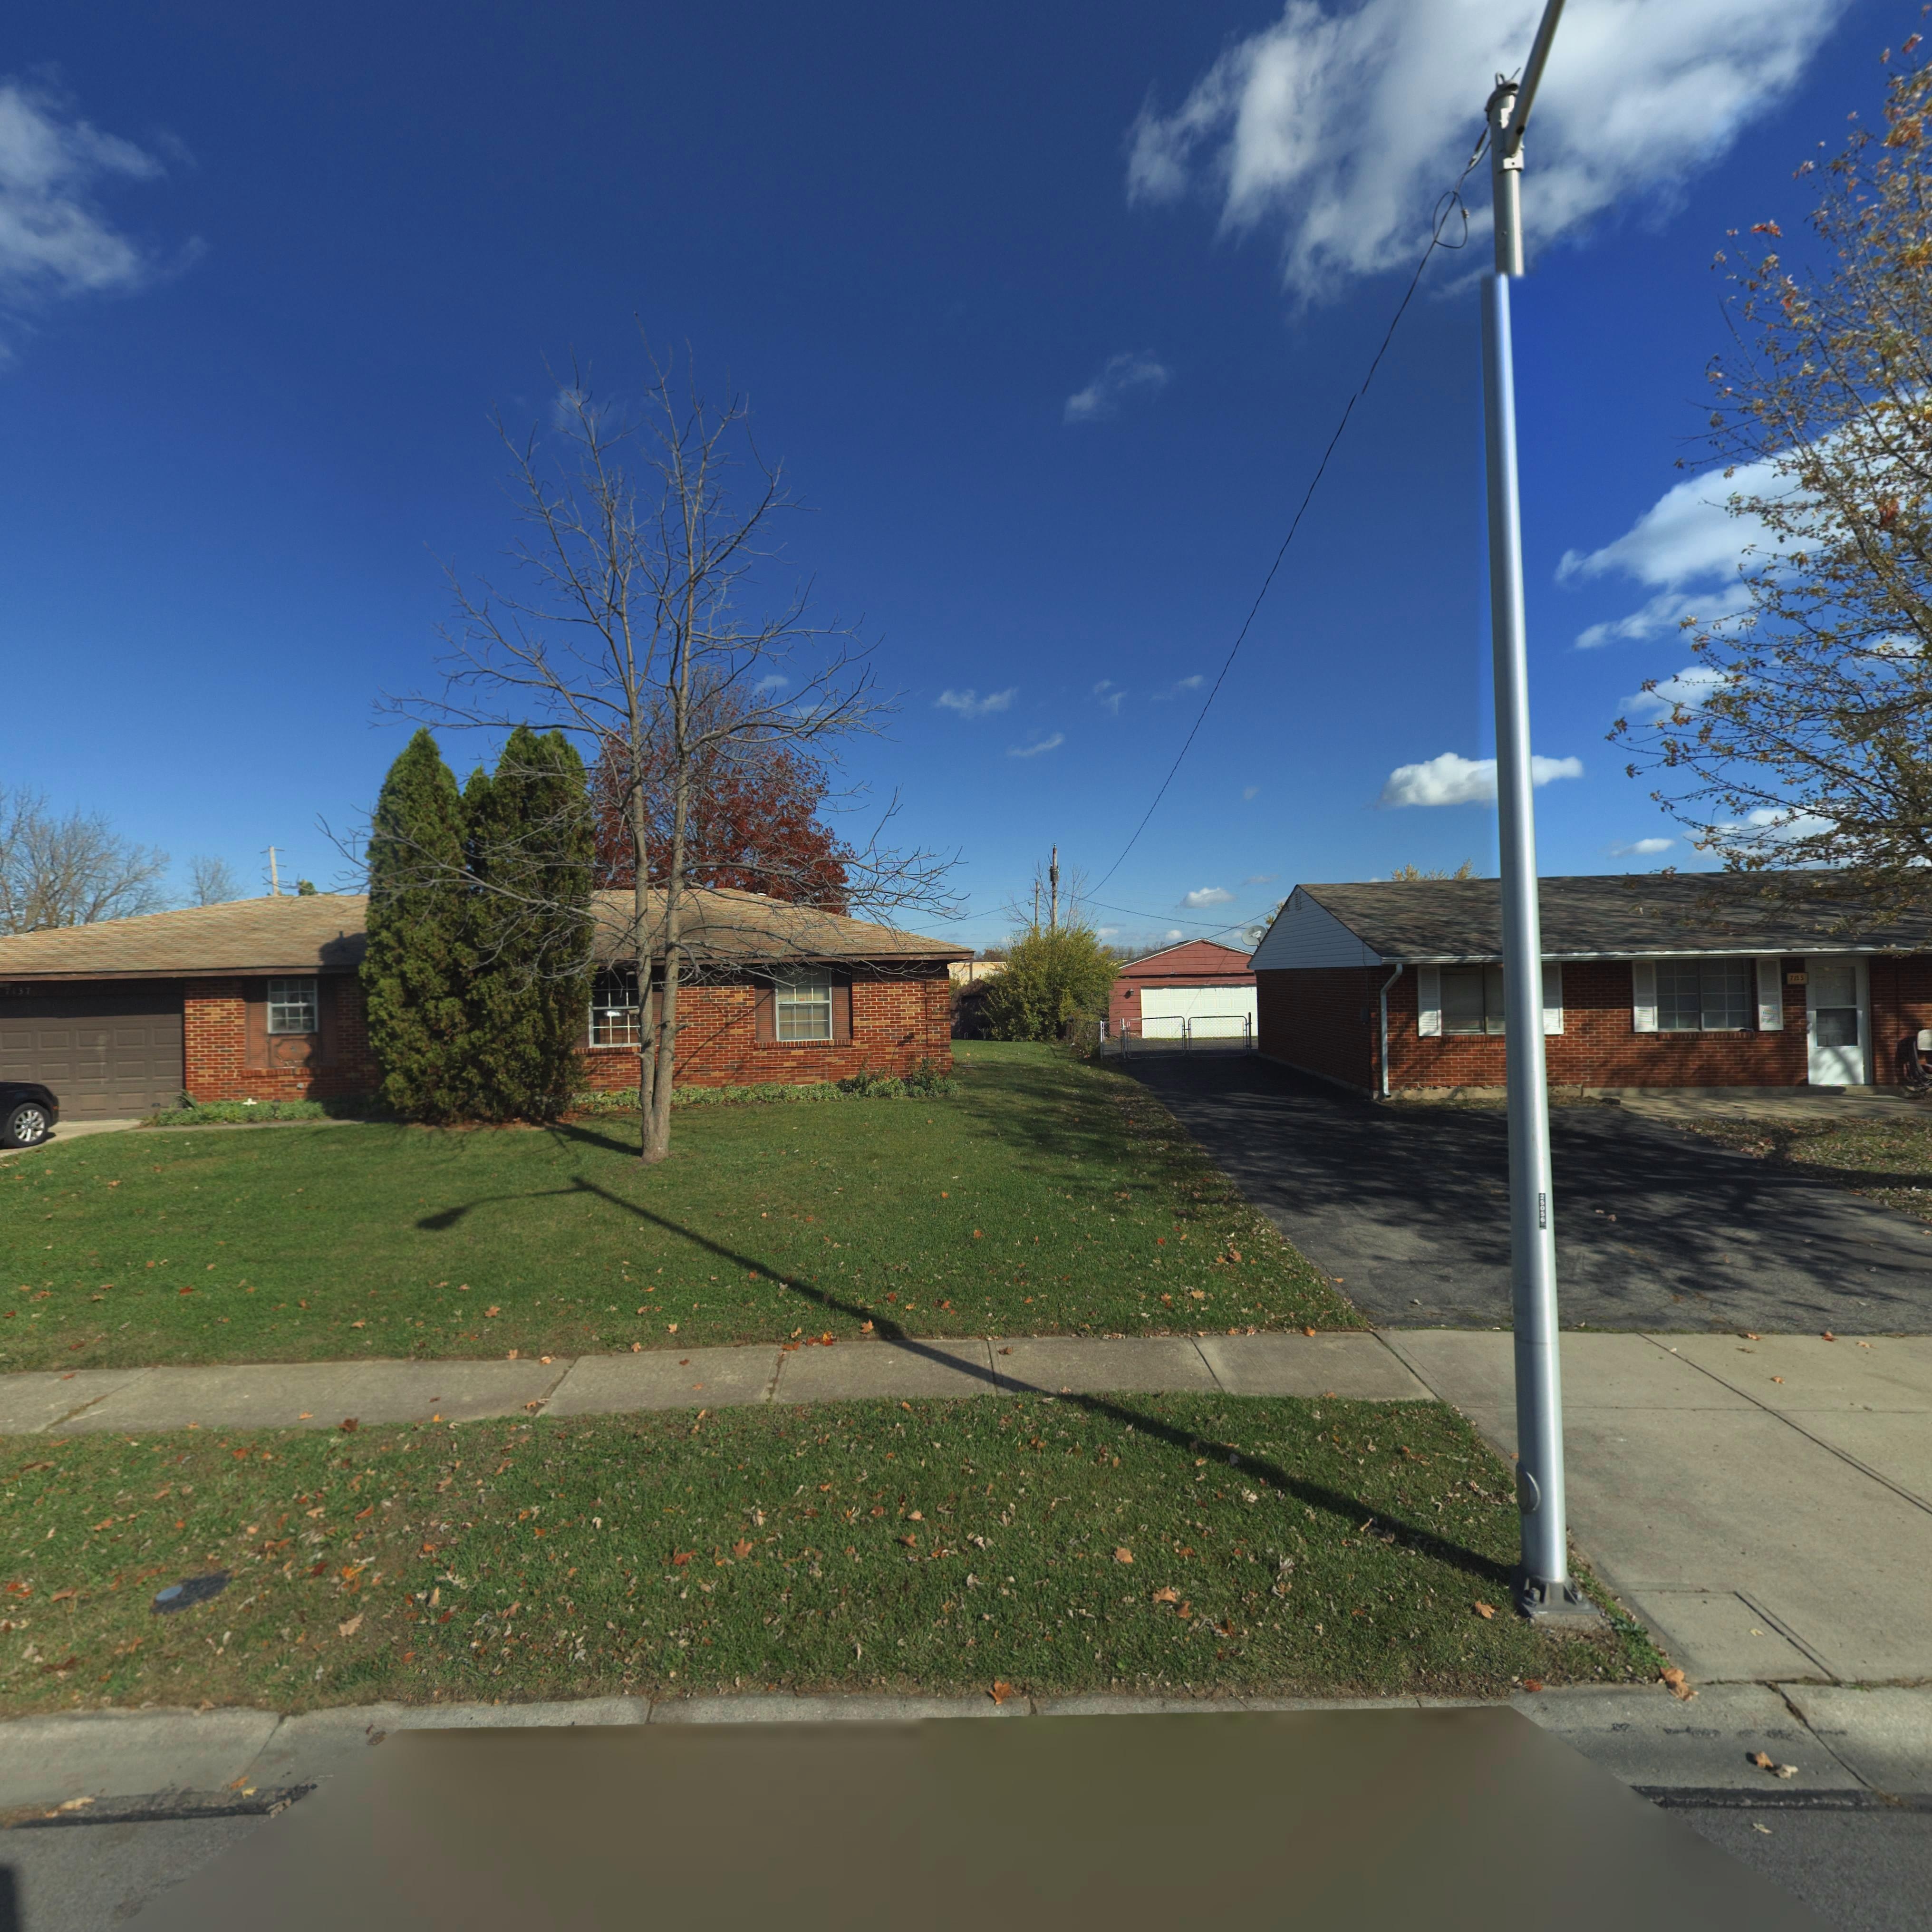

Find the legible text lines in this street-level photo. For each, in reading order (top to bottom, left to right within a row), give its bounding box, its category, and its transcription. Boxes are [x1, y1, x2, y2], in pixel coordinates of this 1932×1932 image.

[1788, 974, 1805, 982] StreetNumber: 7**5